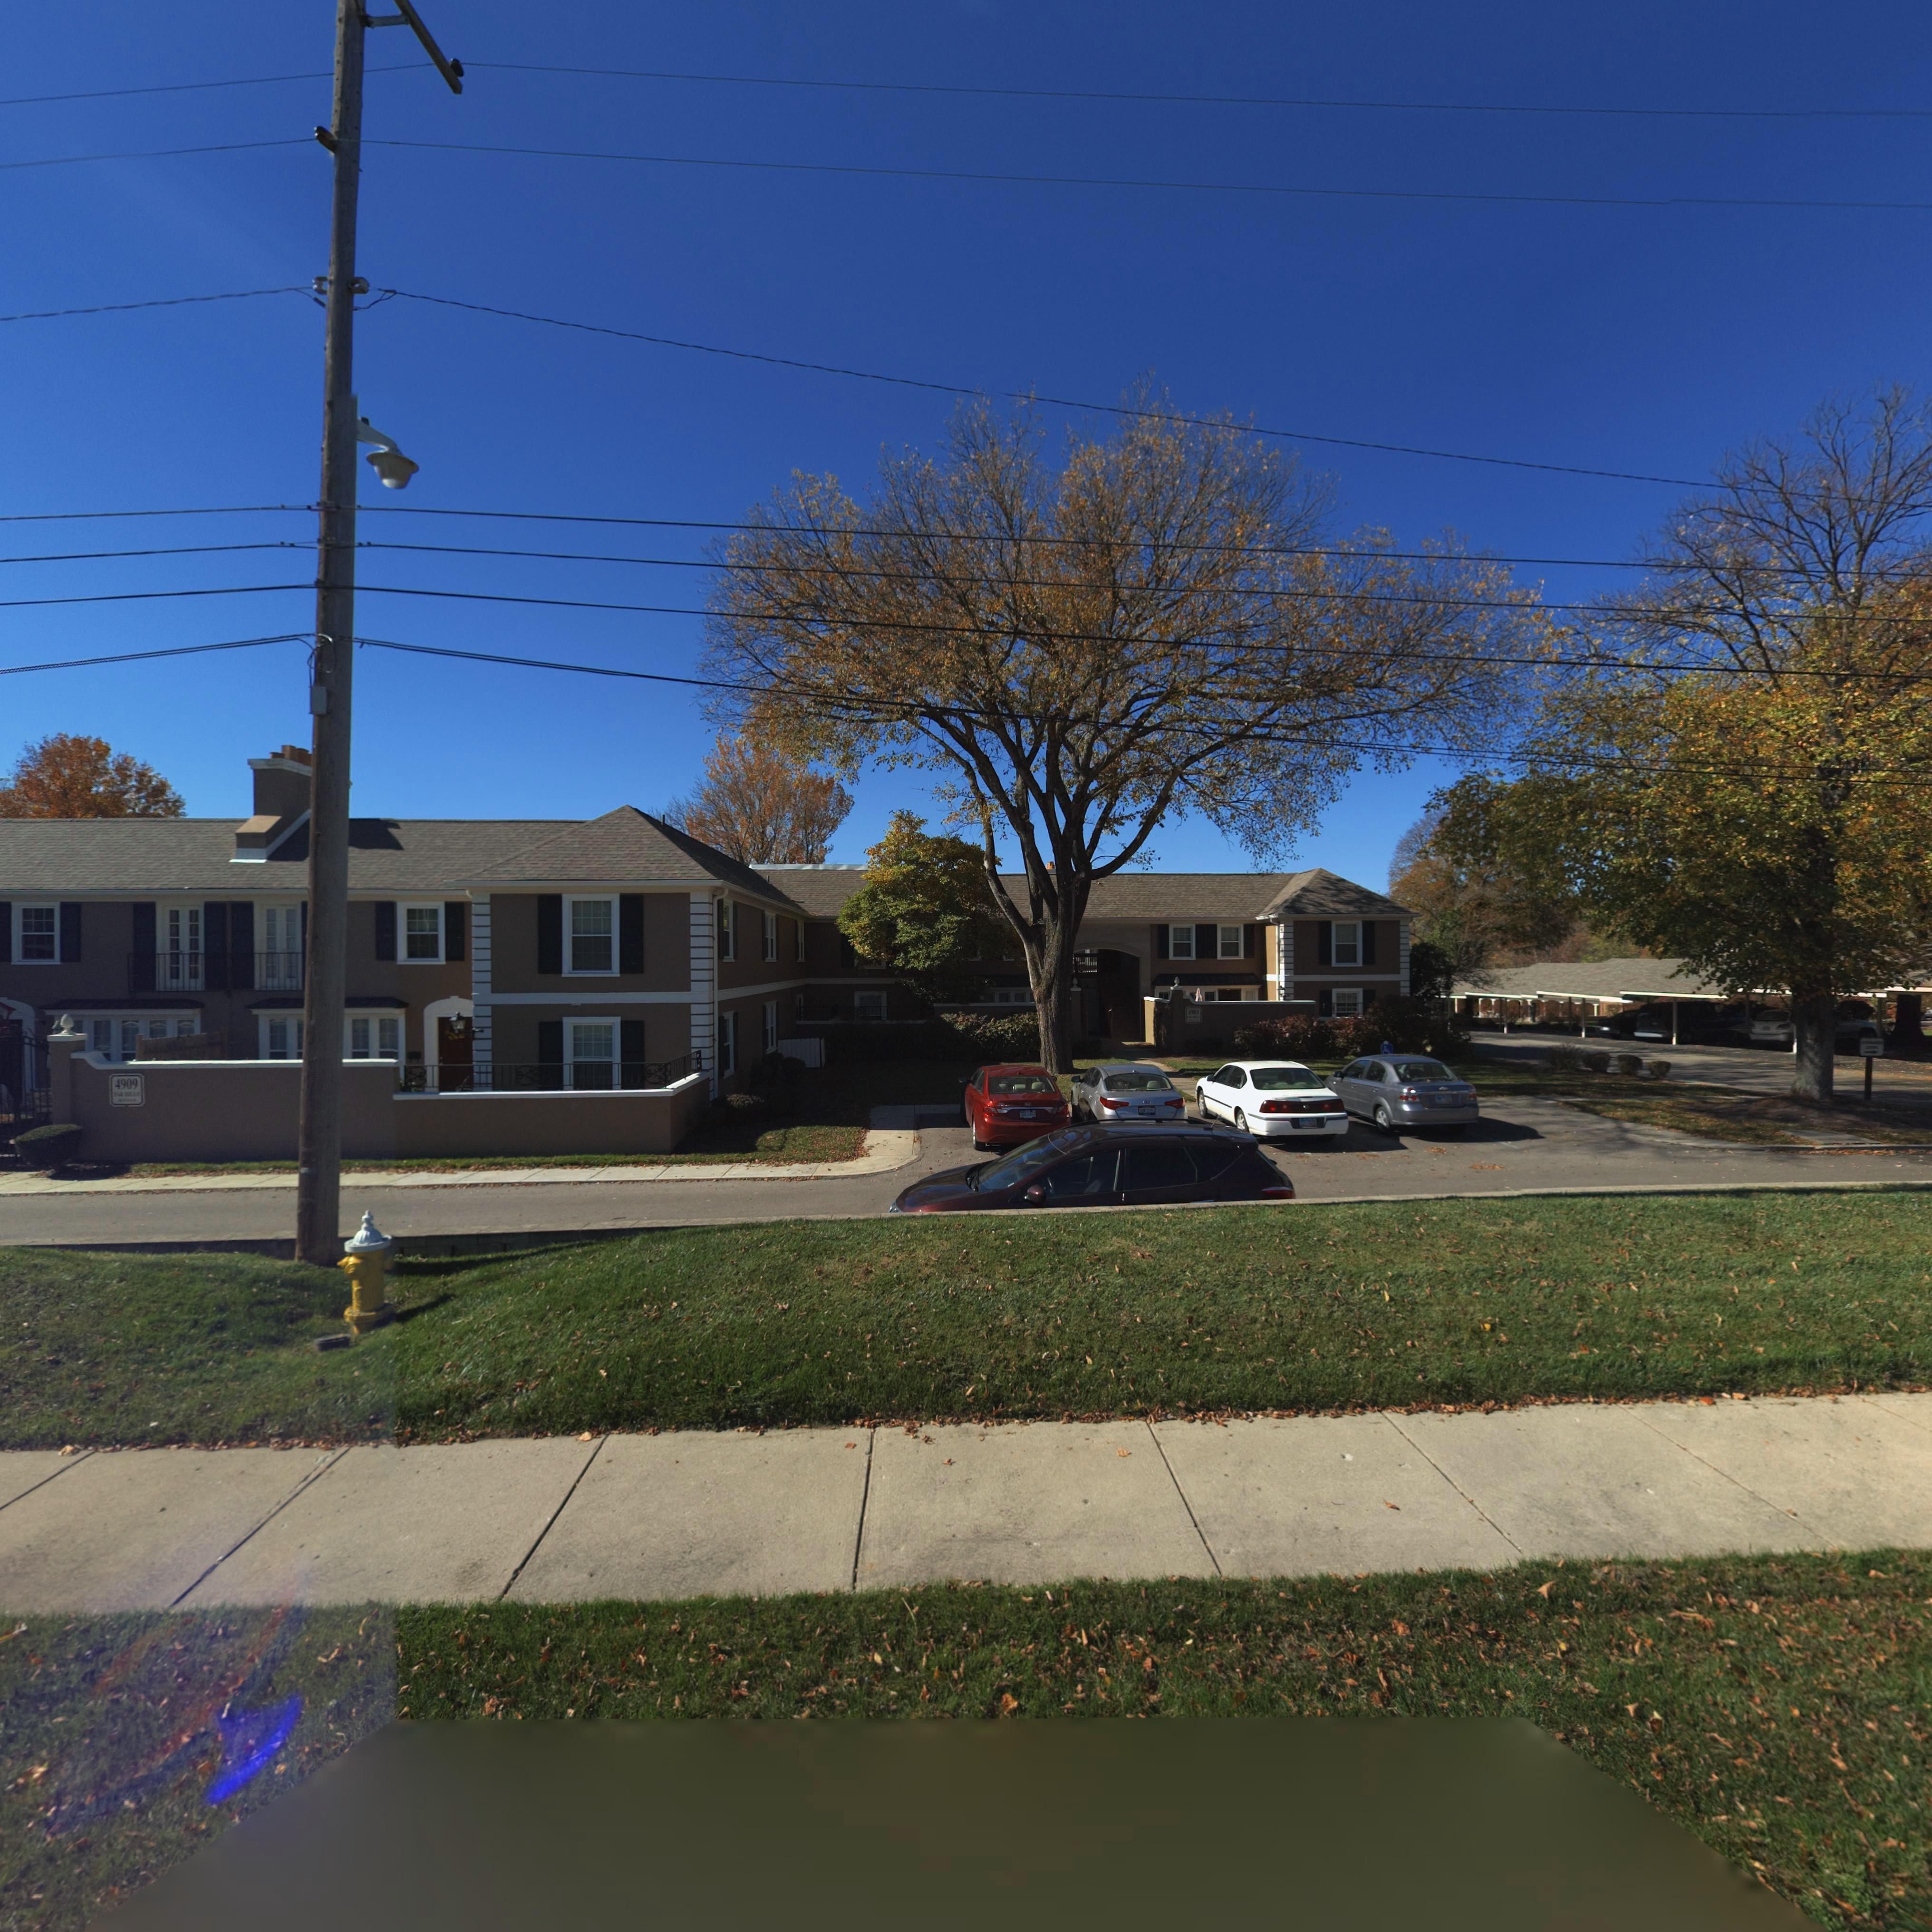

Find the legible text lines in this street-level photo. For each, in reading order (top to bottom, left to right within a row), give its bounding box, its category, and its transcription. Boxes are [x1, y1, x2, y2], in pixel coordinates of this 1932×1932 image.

[1187, 1008, 1199, 1015] StreetNumber: 4901
[114, 1078, 138, 1090] StreetNumber: 4909